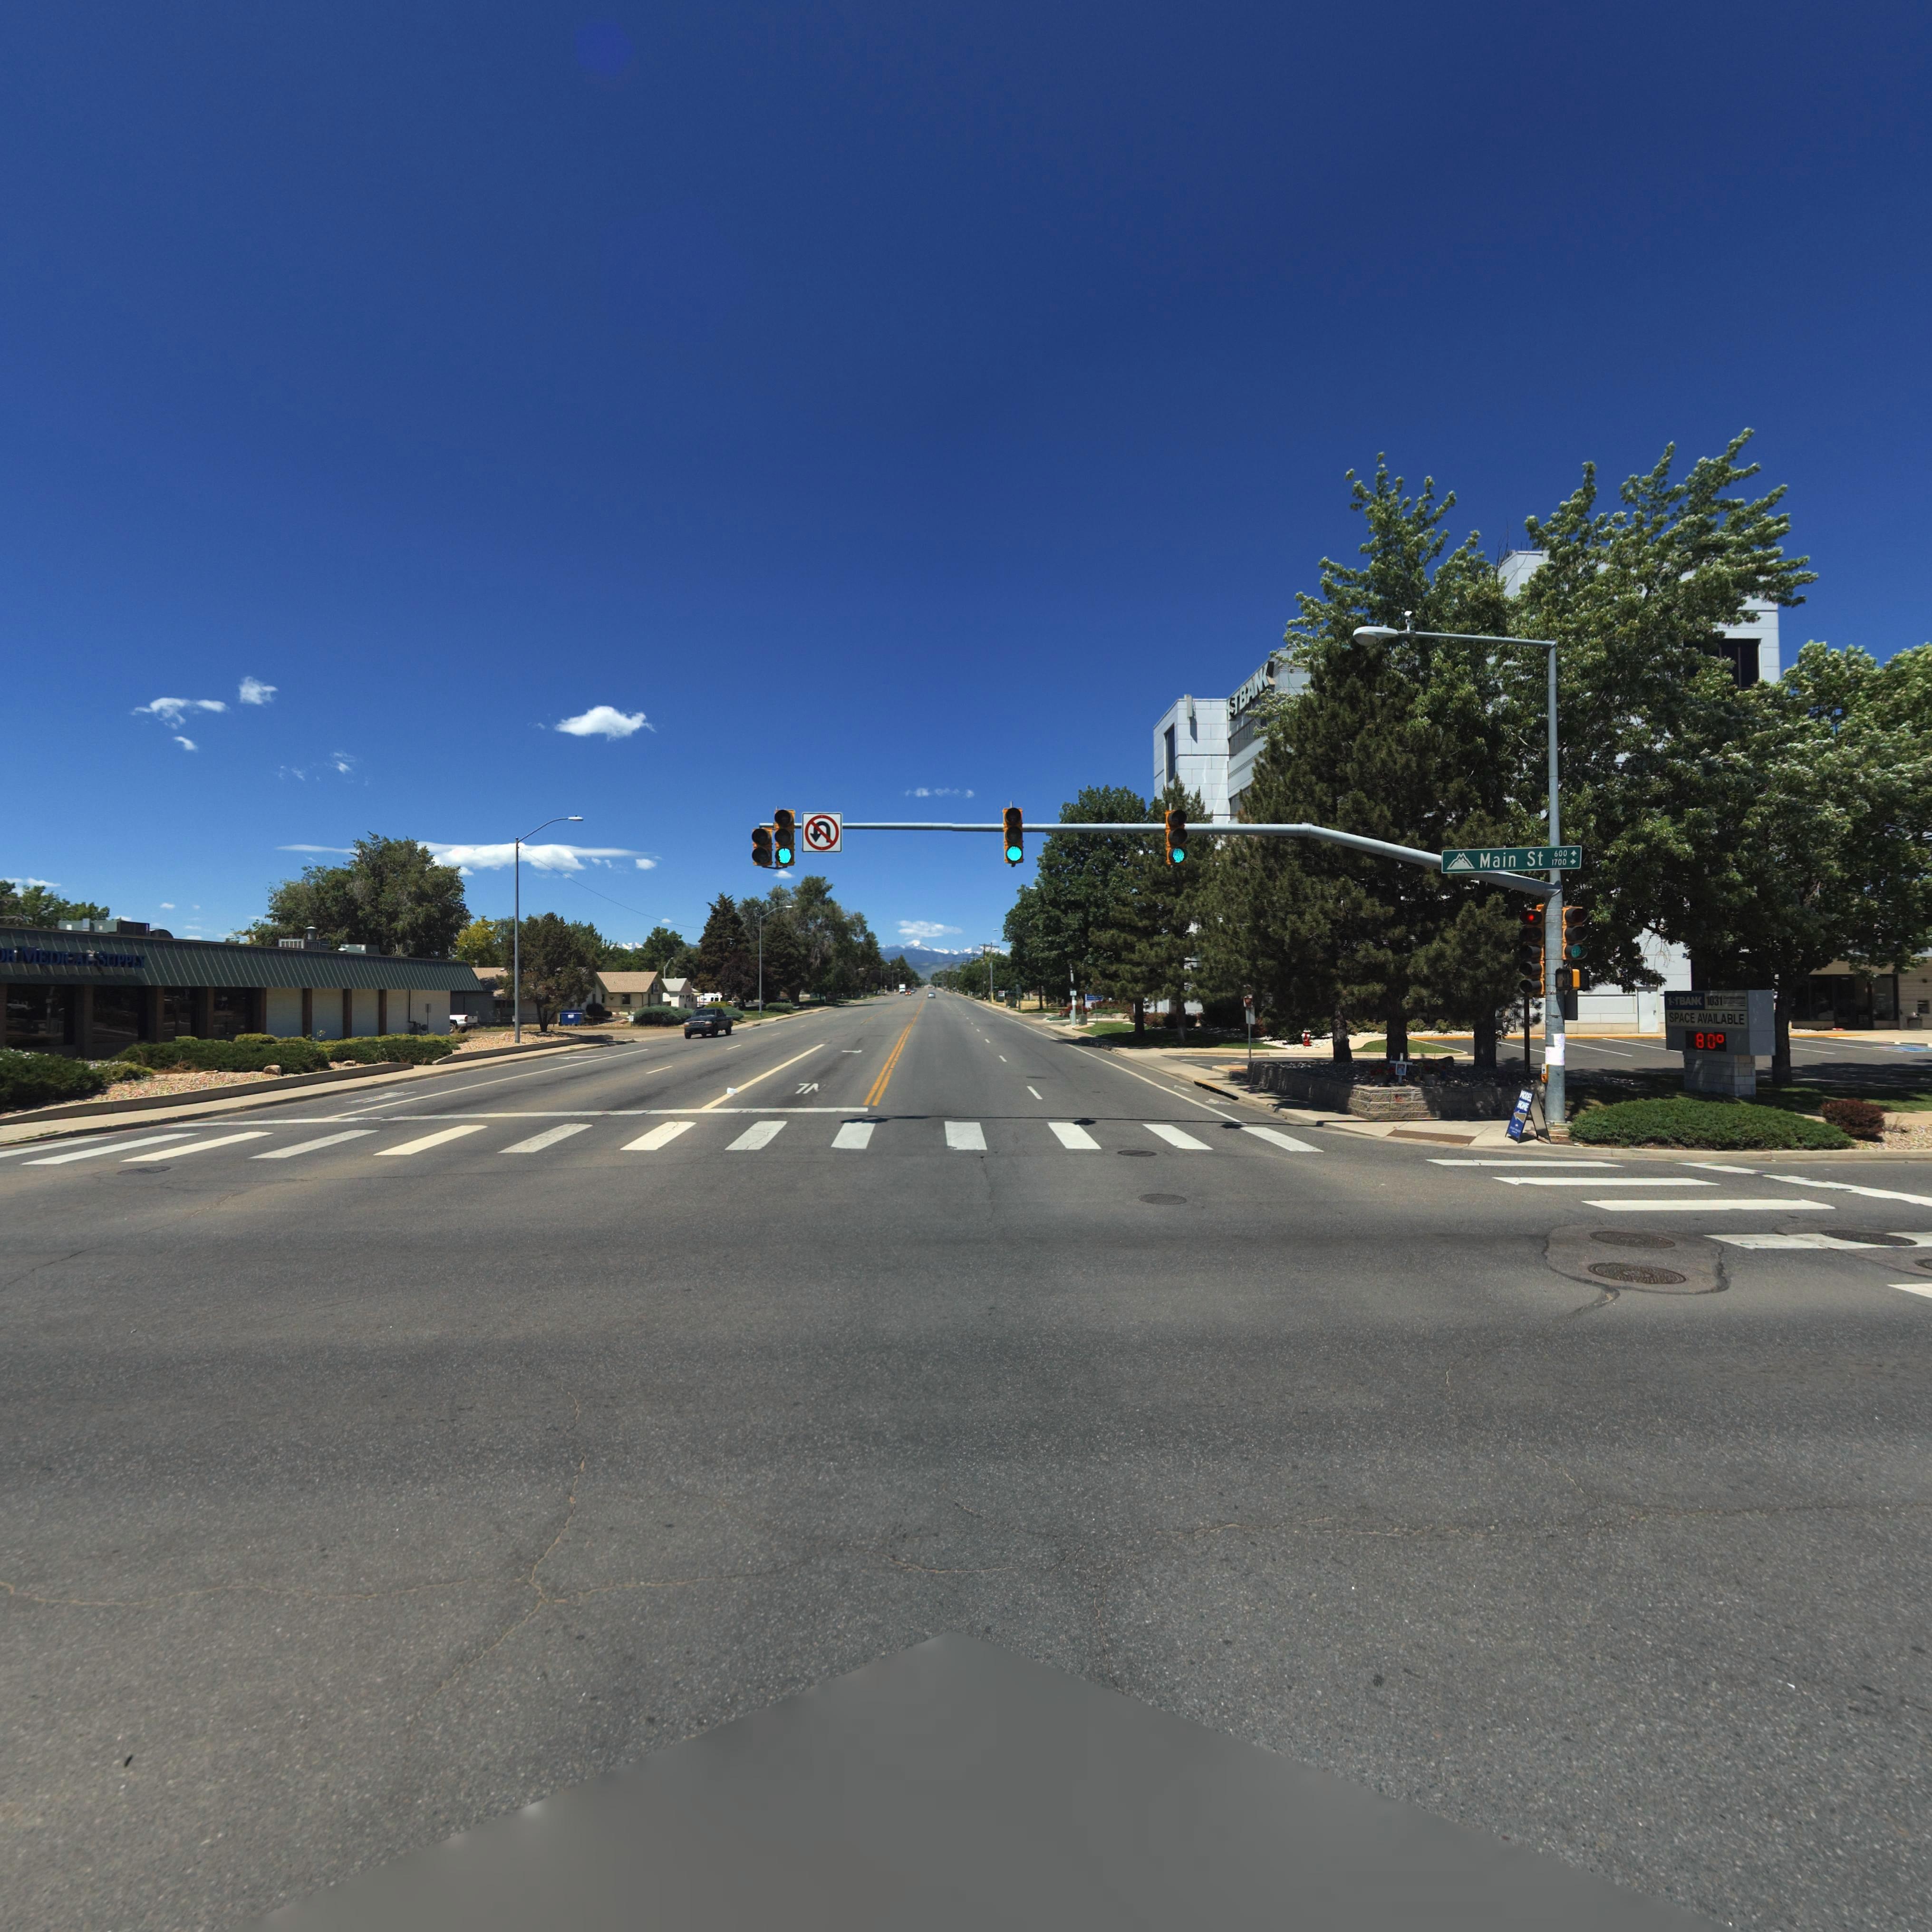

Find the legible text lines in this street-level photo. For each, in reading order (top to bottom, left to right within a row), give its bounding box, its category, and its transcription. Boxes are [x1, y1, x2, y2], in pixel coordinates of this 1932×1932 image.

[1225, 659, 1275, 722] BusinessName: 1**BAN*
[1479, 850, 1544, 869] StreetName: Main St
[1554, 849, 1567, 858] StreetNumberRange: 600
[1551, 858, 1576, 866] StreetNumberRange: 1700->
[13, 945, 148, 969] BusinessName: MEDICAL SUPPLY
[1667, 995, 1703, 1006] BusinessName: 1**BAN*
[1706, 995, 1722, 1005] StreetNumber: 1031
[1695, 1033, 1716, 1049] StreetNumber: 80